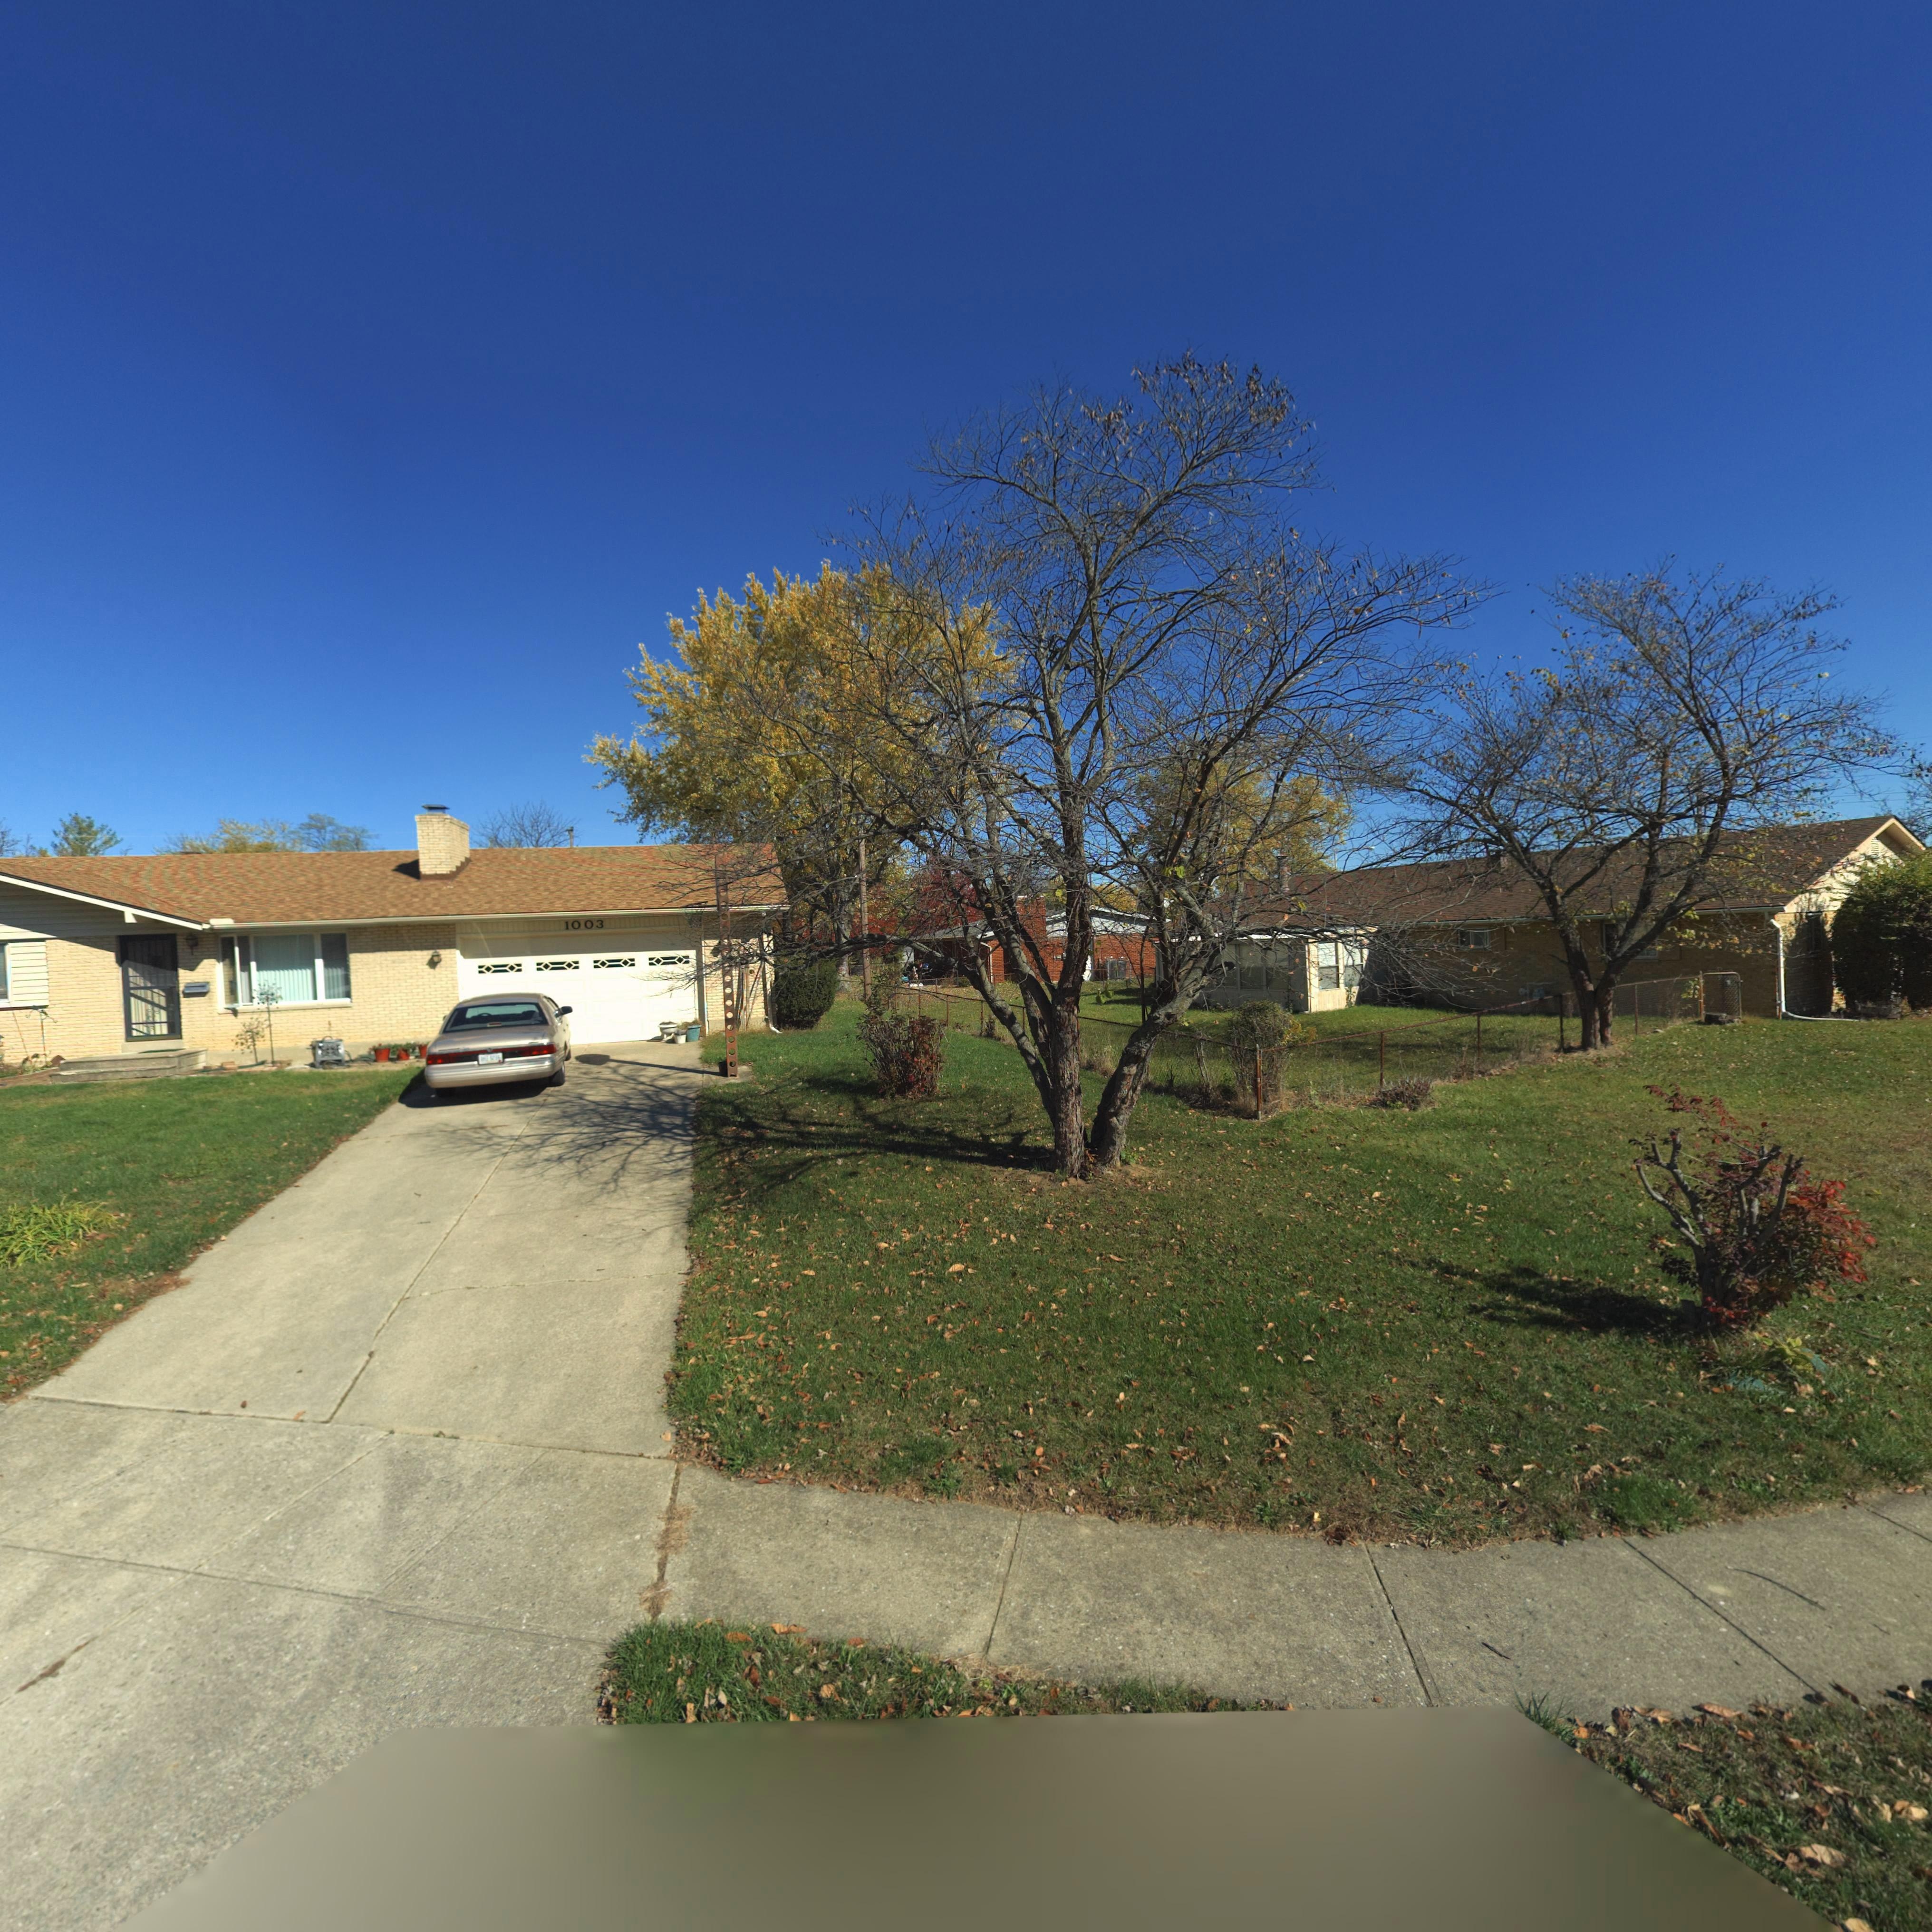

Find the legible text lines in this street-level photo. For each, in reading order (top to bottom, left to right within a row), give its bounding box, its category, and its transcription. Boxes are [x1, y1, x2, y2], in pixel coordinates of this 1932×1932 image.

[565, 919, 604, 931] StreetNumber: 1003